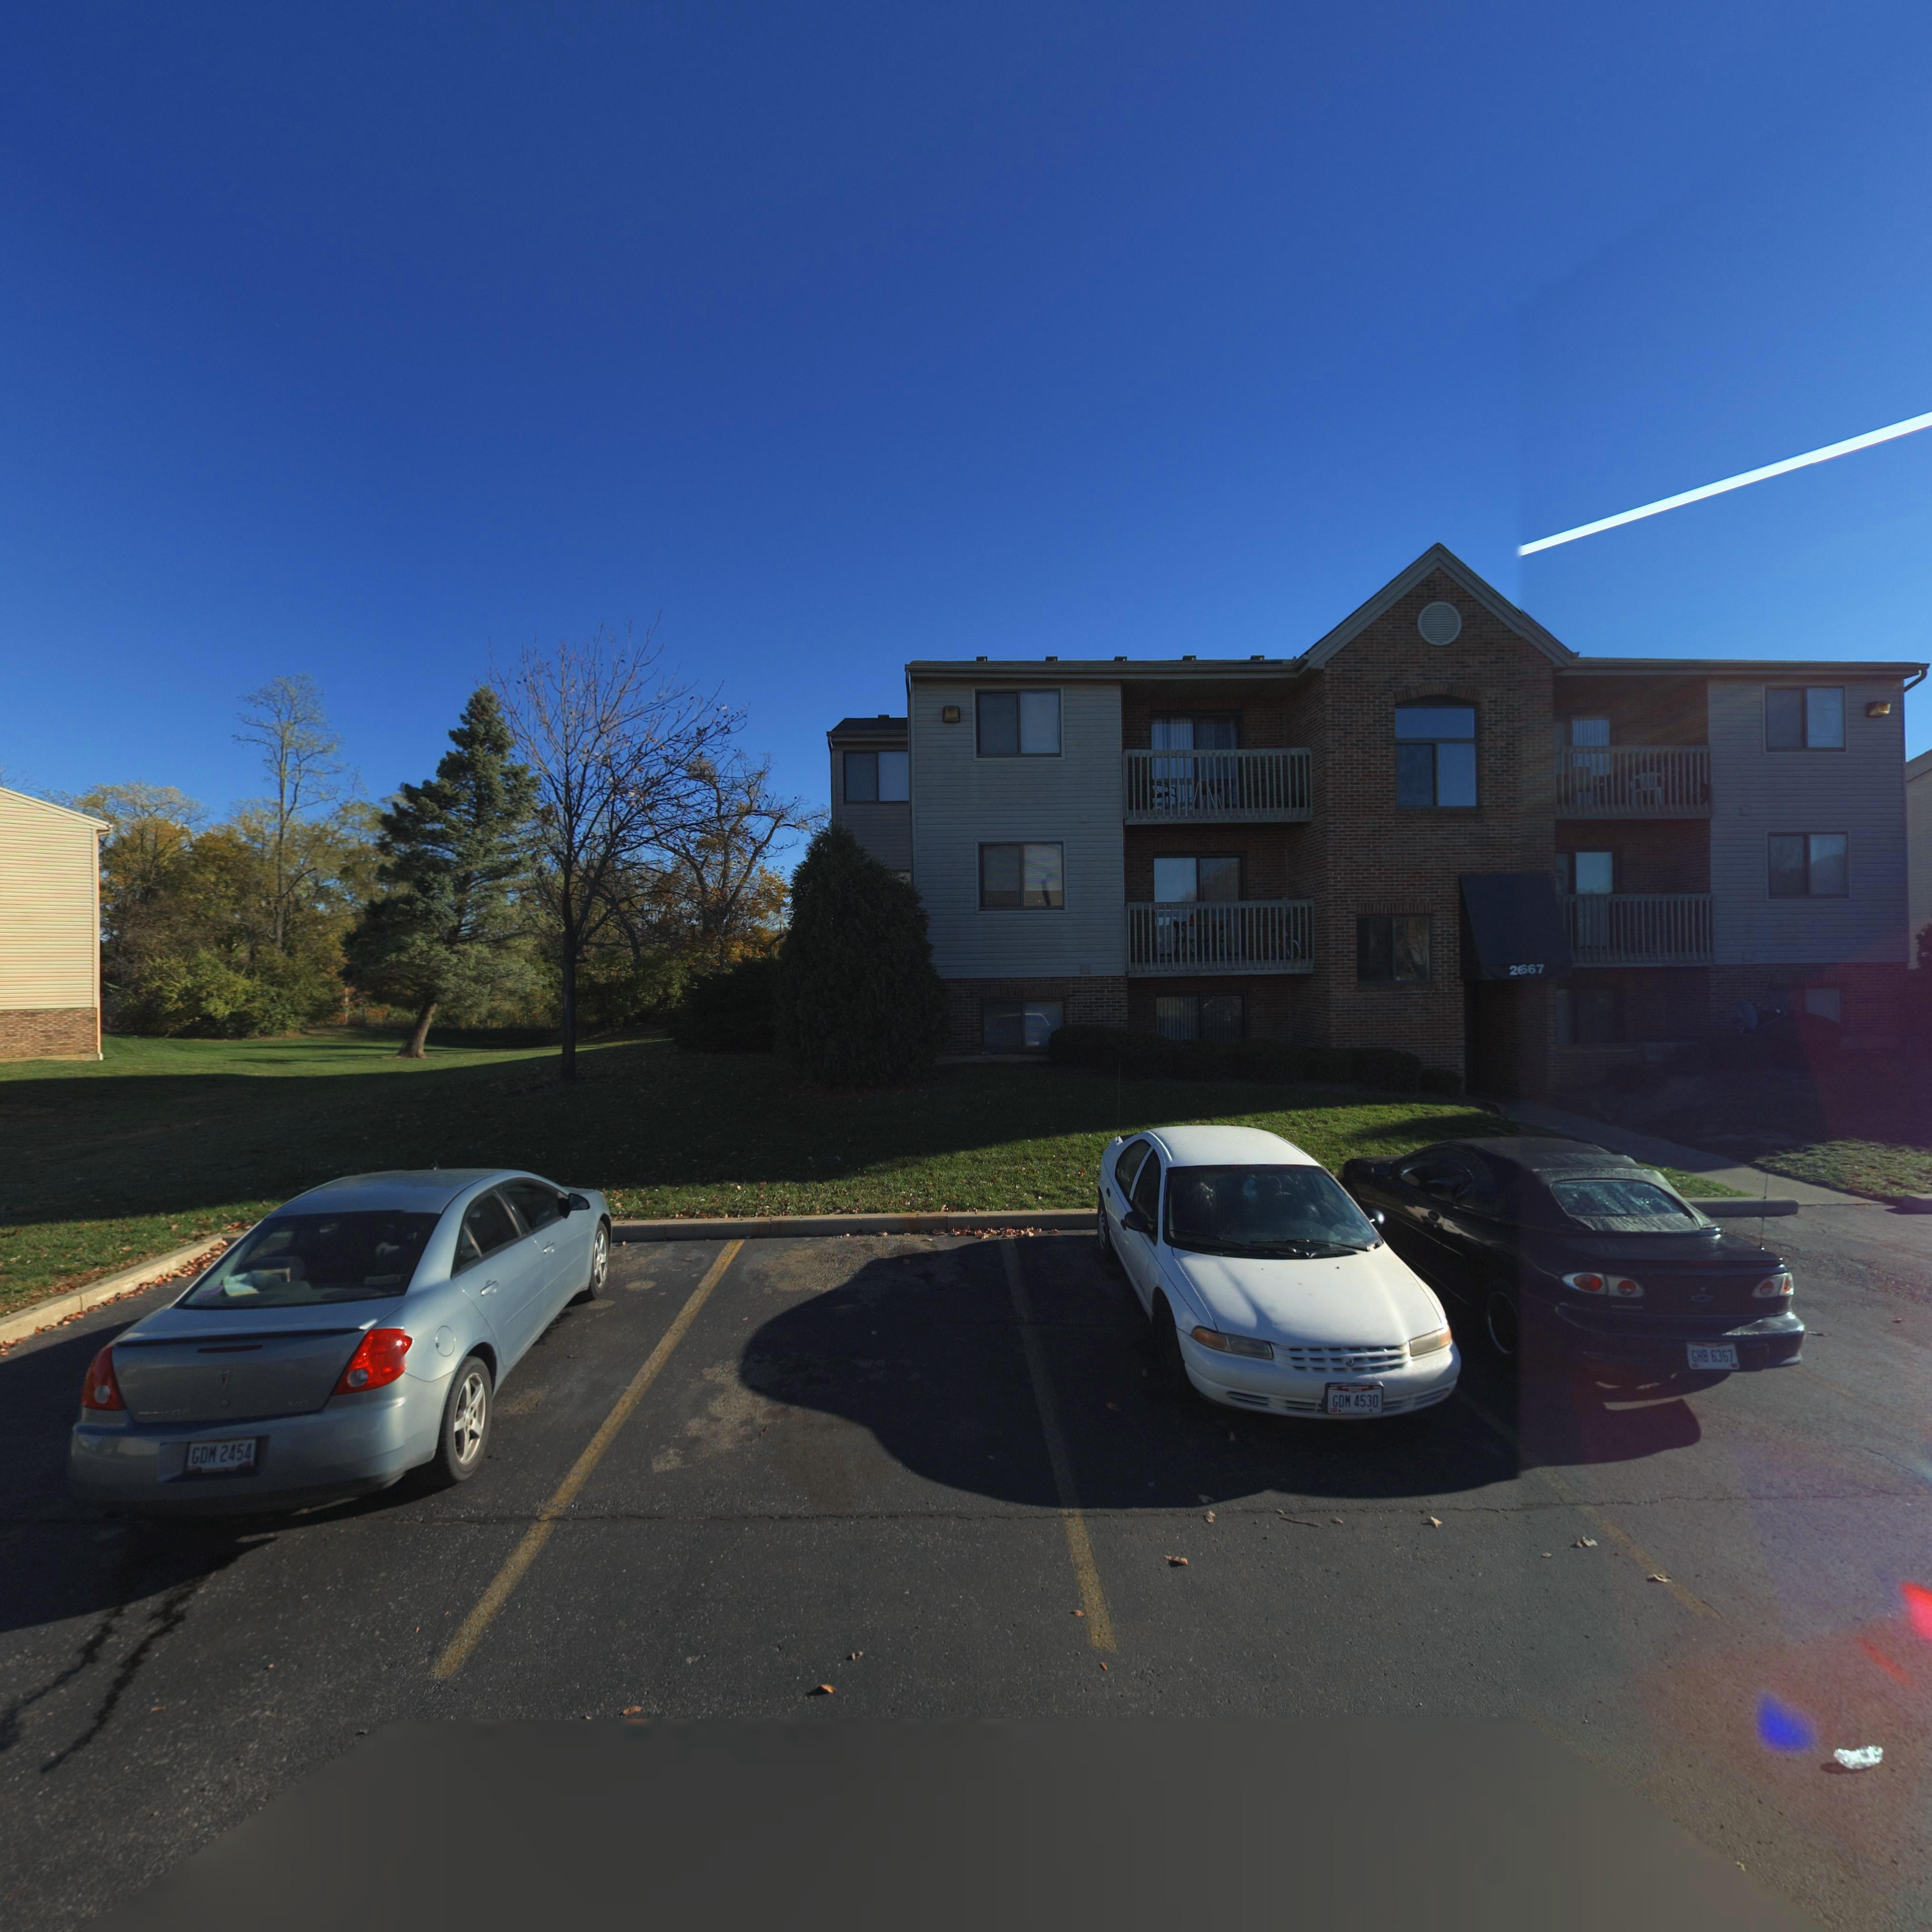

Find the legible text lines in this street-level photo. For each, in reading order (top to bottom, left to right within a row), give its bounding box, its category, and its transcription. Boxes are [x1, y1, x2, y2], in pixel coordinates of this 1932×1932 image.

[1509, 963, 1545, 976] StreetNumber: 2*67